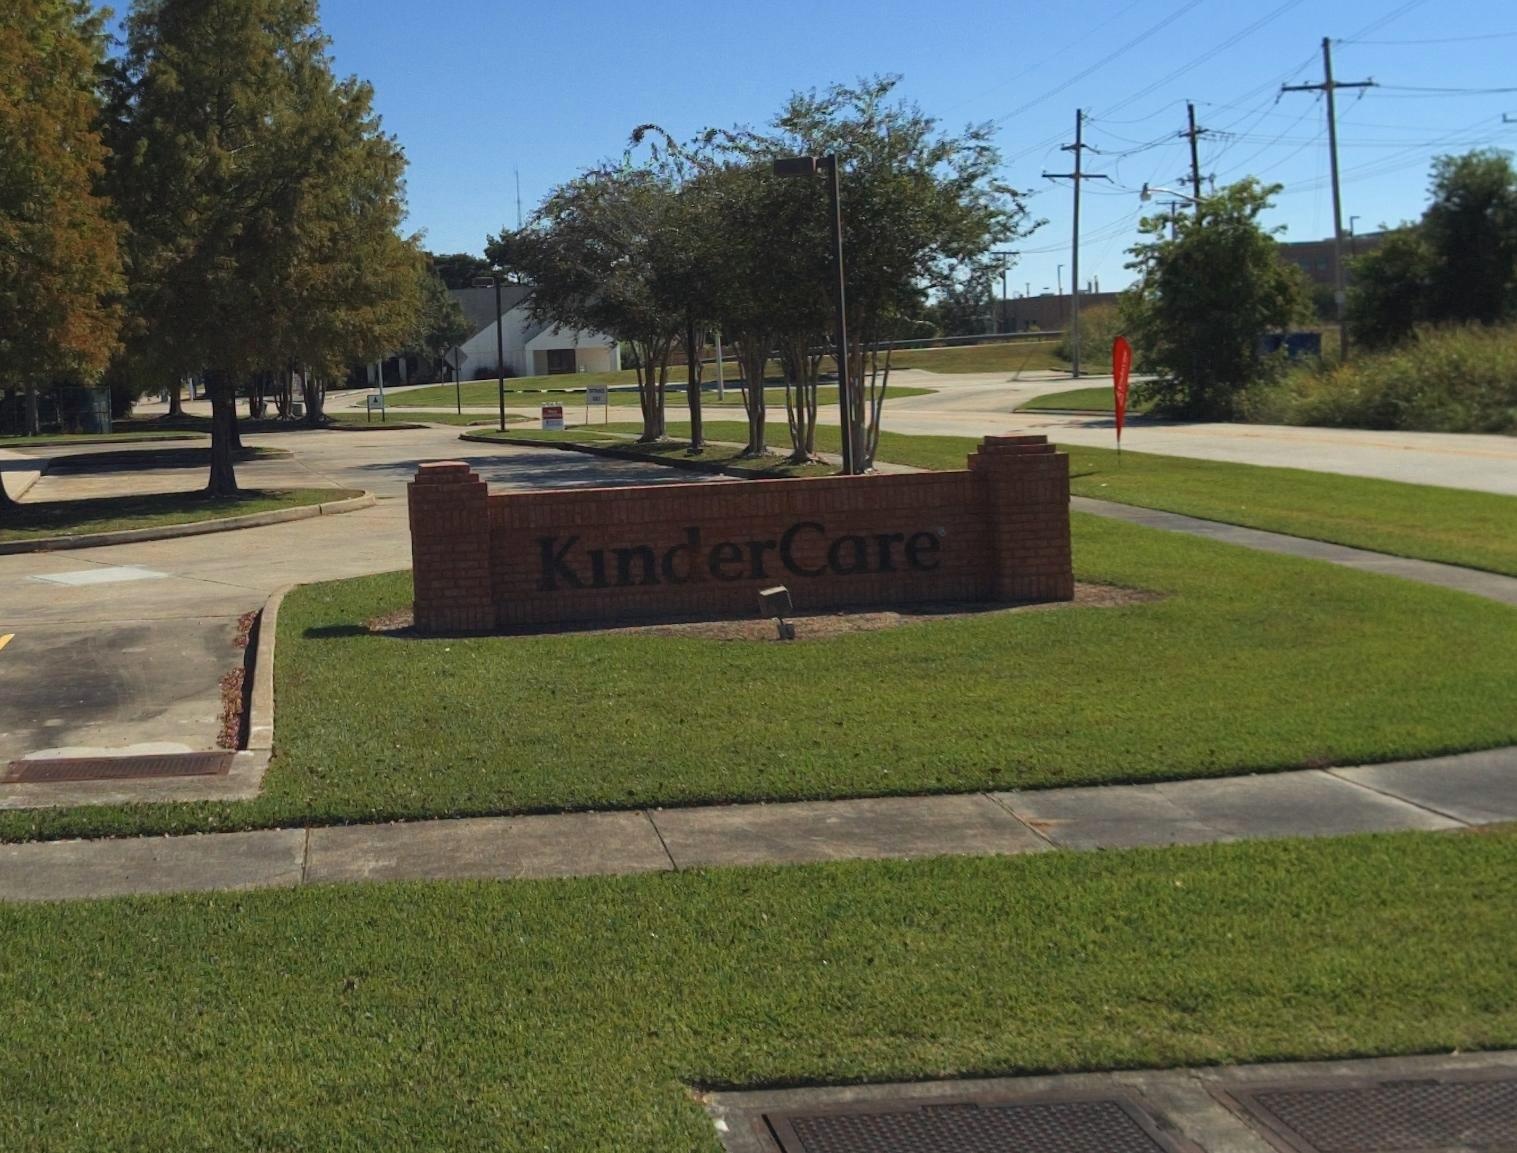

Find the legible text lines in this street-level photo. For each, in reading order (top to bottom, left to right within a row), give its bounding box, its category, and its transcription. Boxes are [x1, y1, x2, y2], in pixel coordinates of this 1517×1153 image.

[532, 521, 947, 595] BusinessName: KinderCare